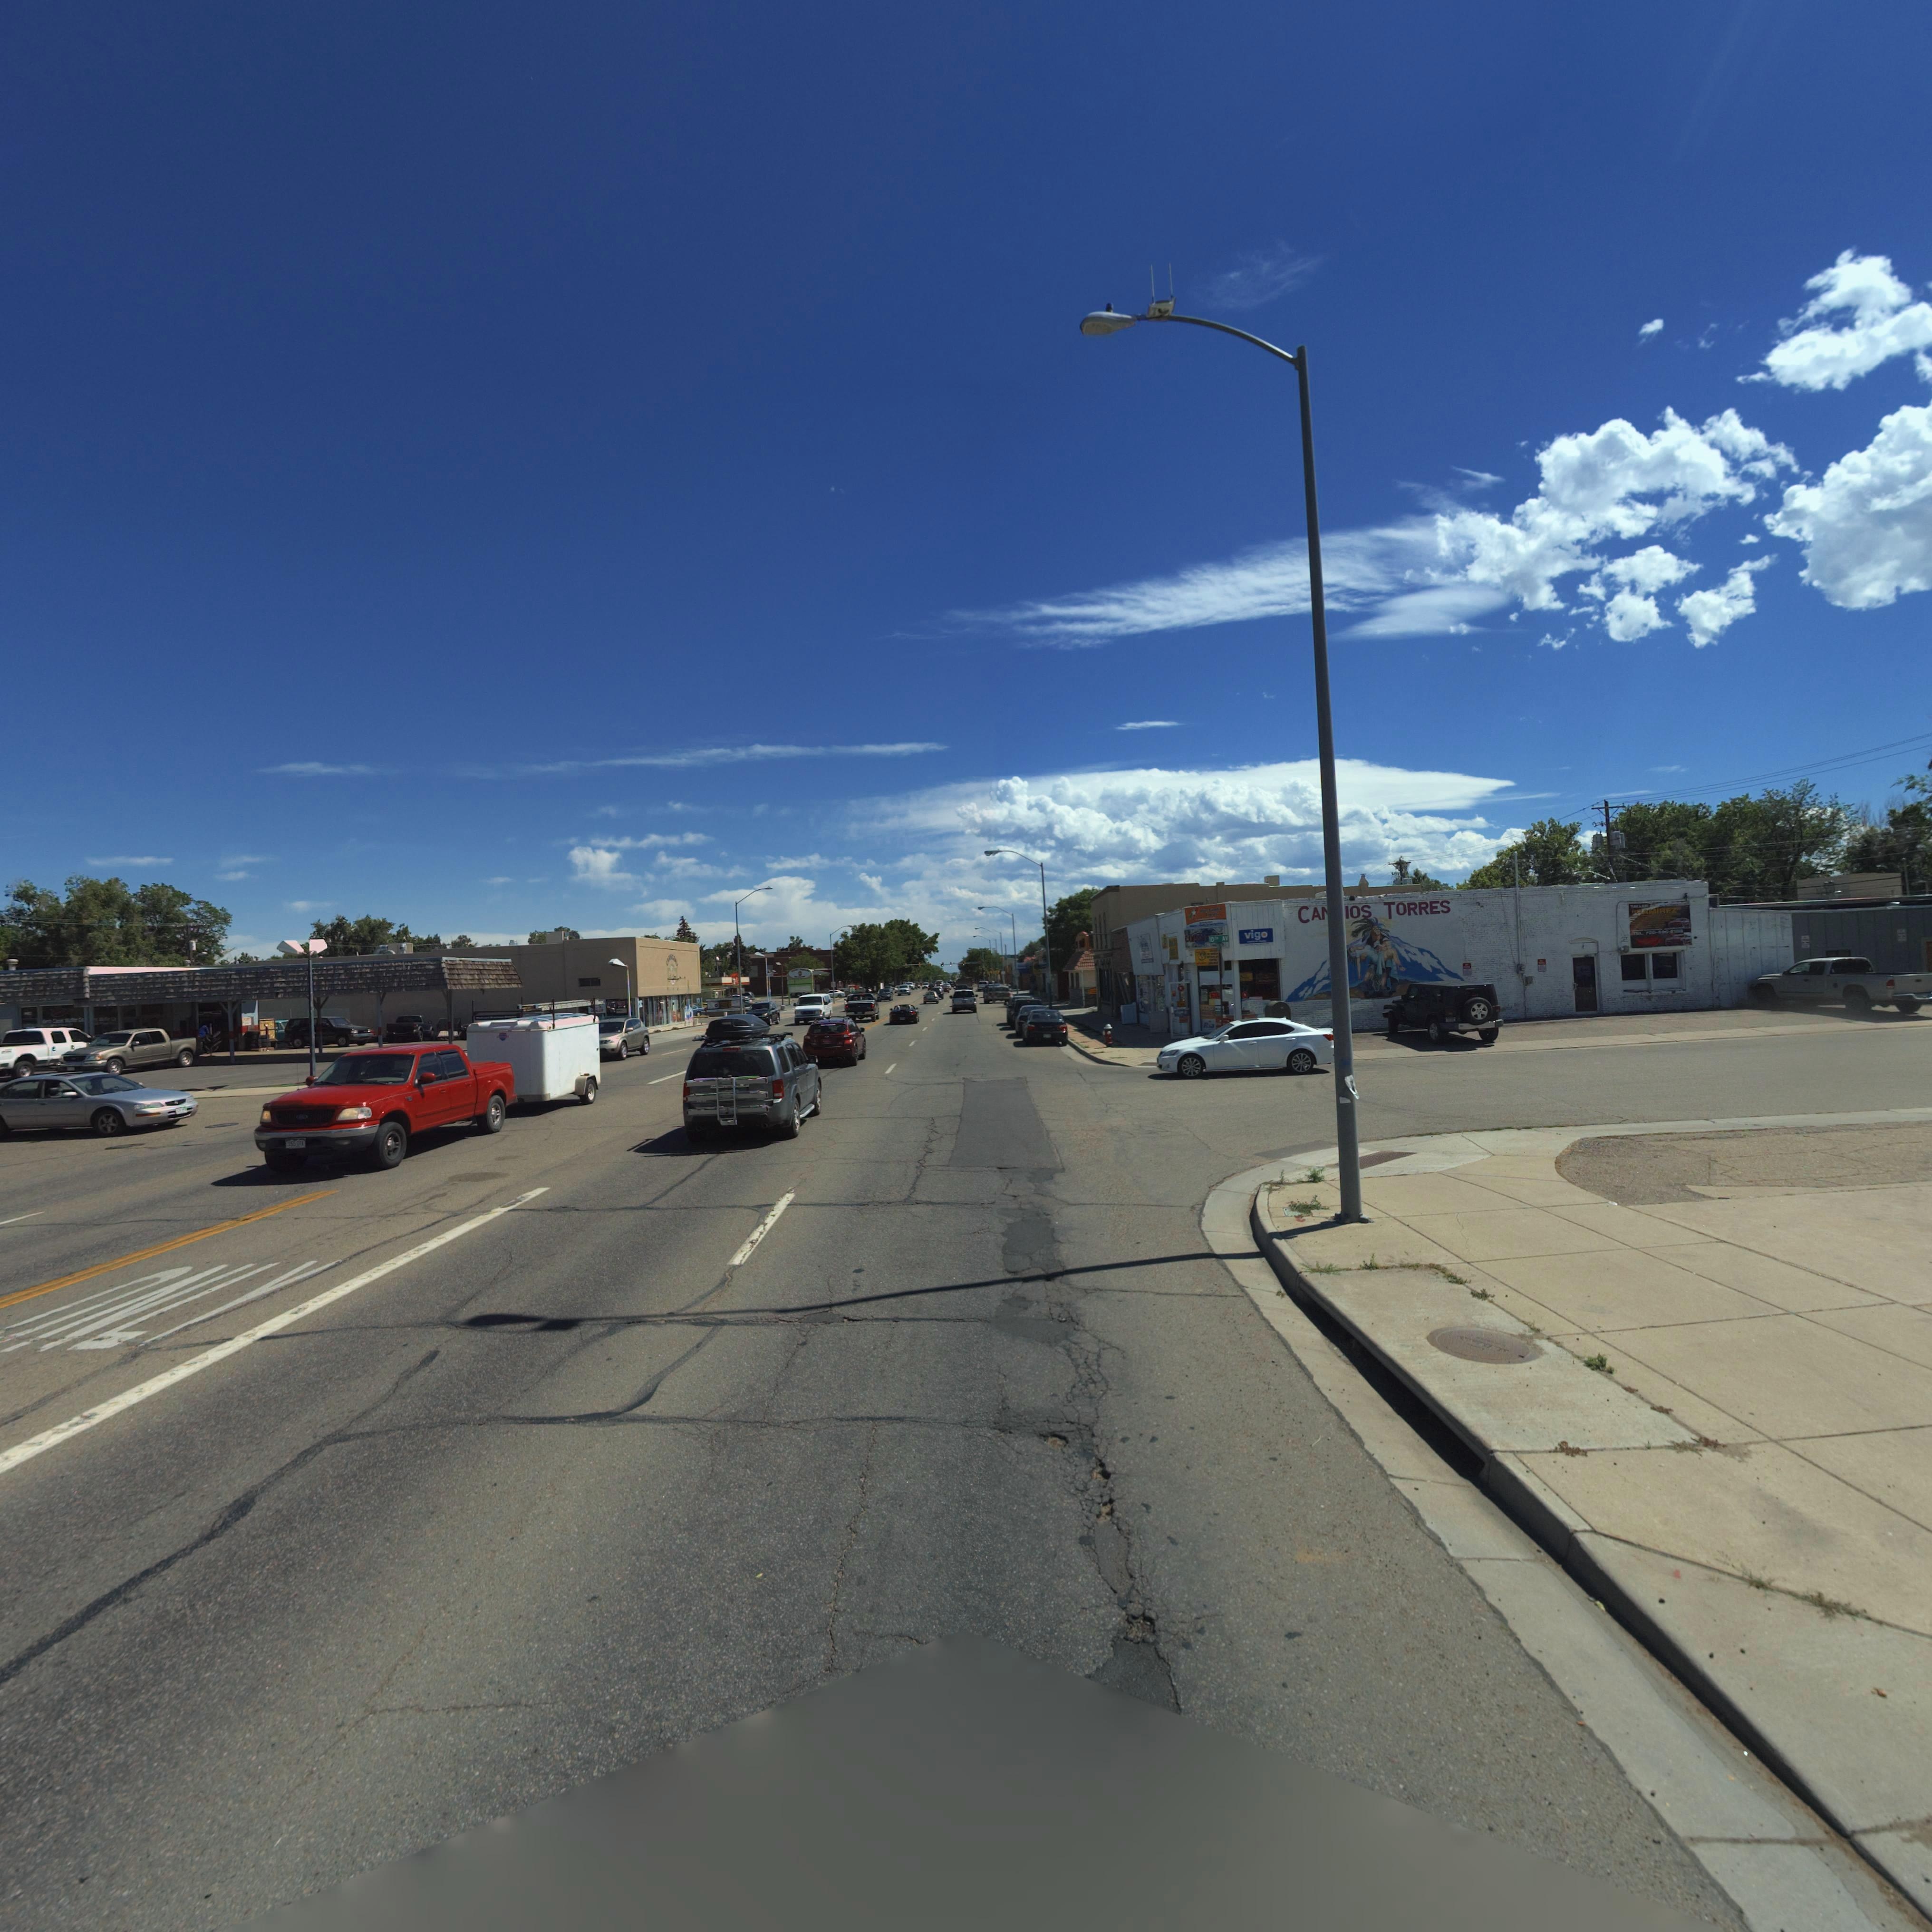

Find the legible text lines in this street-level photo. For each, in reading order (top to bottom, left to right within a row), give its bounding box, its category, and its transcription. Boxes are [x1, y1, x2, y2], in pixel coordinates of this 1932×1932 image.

[1297, 899, 1451, 924] BusinessName: CA**IOS TORRES
[1209, 935, 1228, 942] StreetName: 10TH AV
[665, 954, 678, 966] BusinessName: C*******